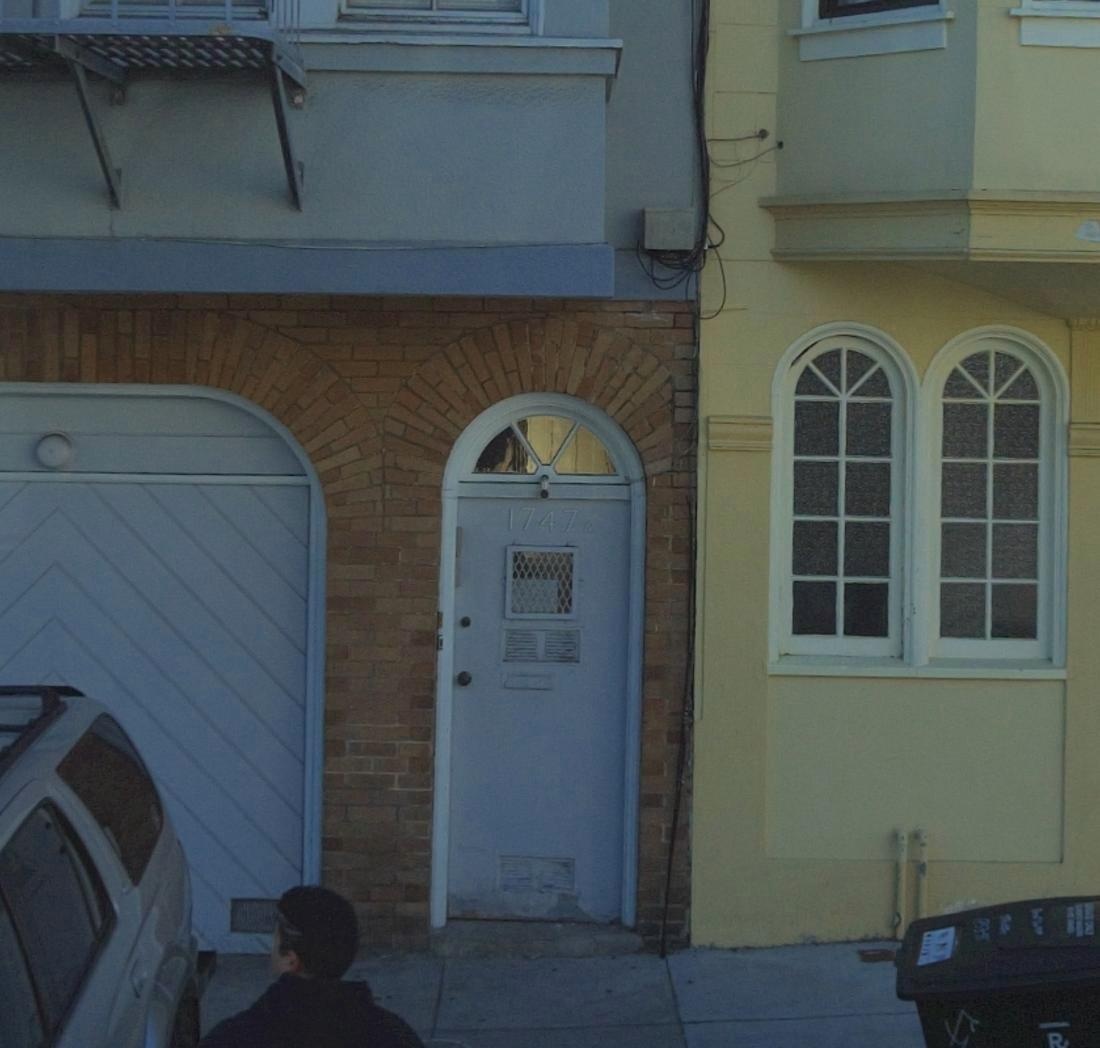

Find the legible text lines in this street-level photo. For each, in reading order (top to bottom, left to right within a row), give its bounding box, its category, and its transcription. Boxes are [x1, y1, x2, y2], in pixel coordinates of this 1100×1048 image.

[504, 503, 582, 535] StreetNumber: 1747